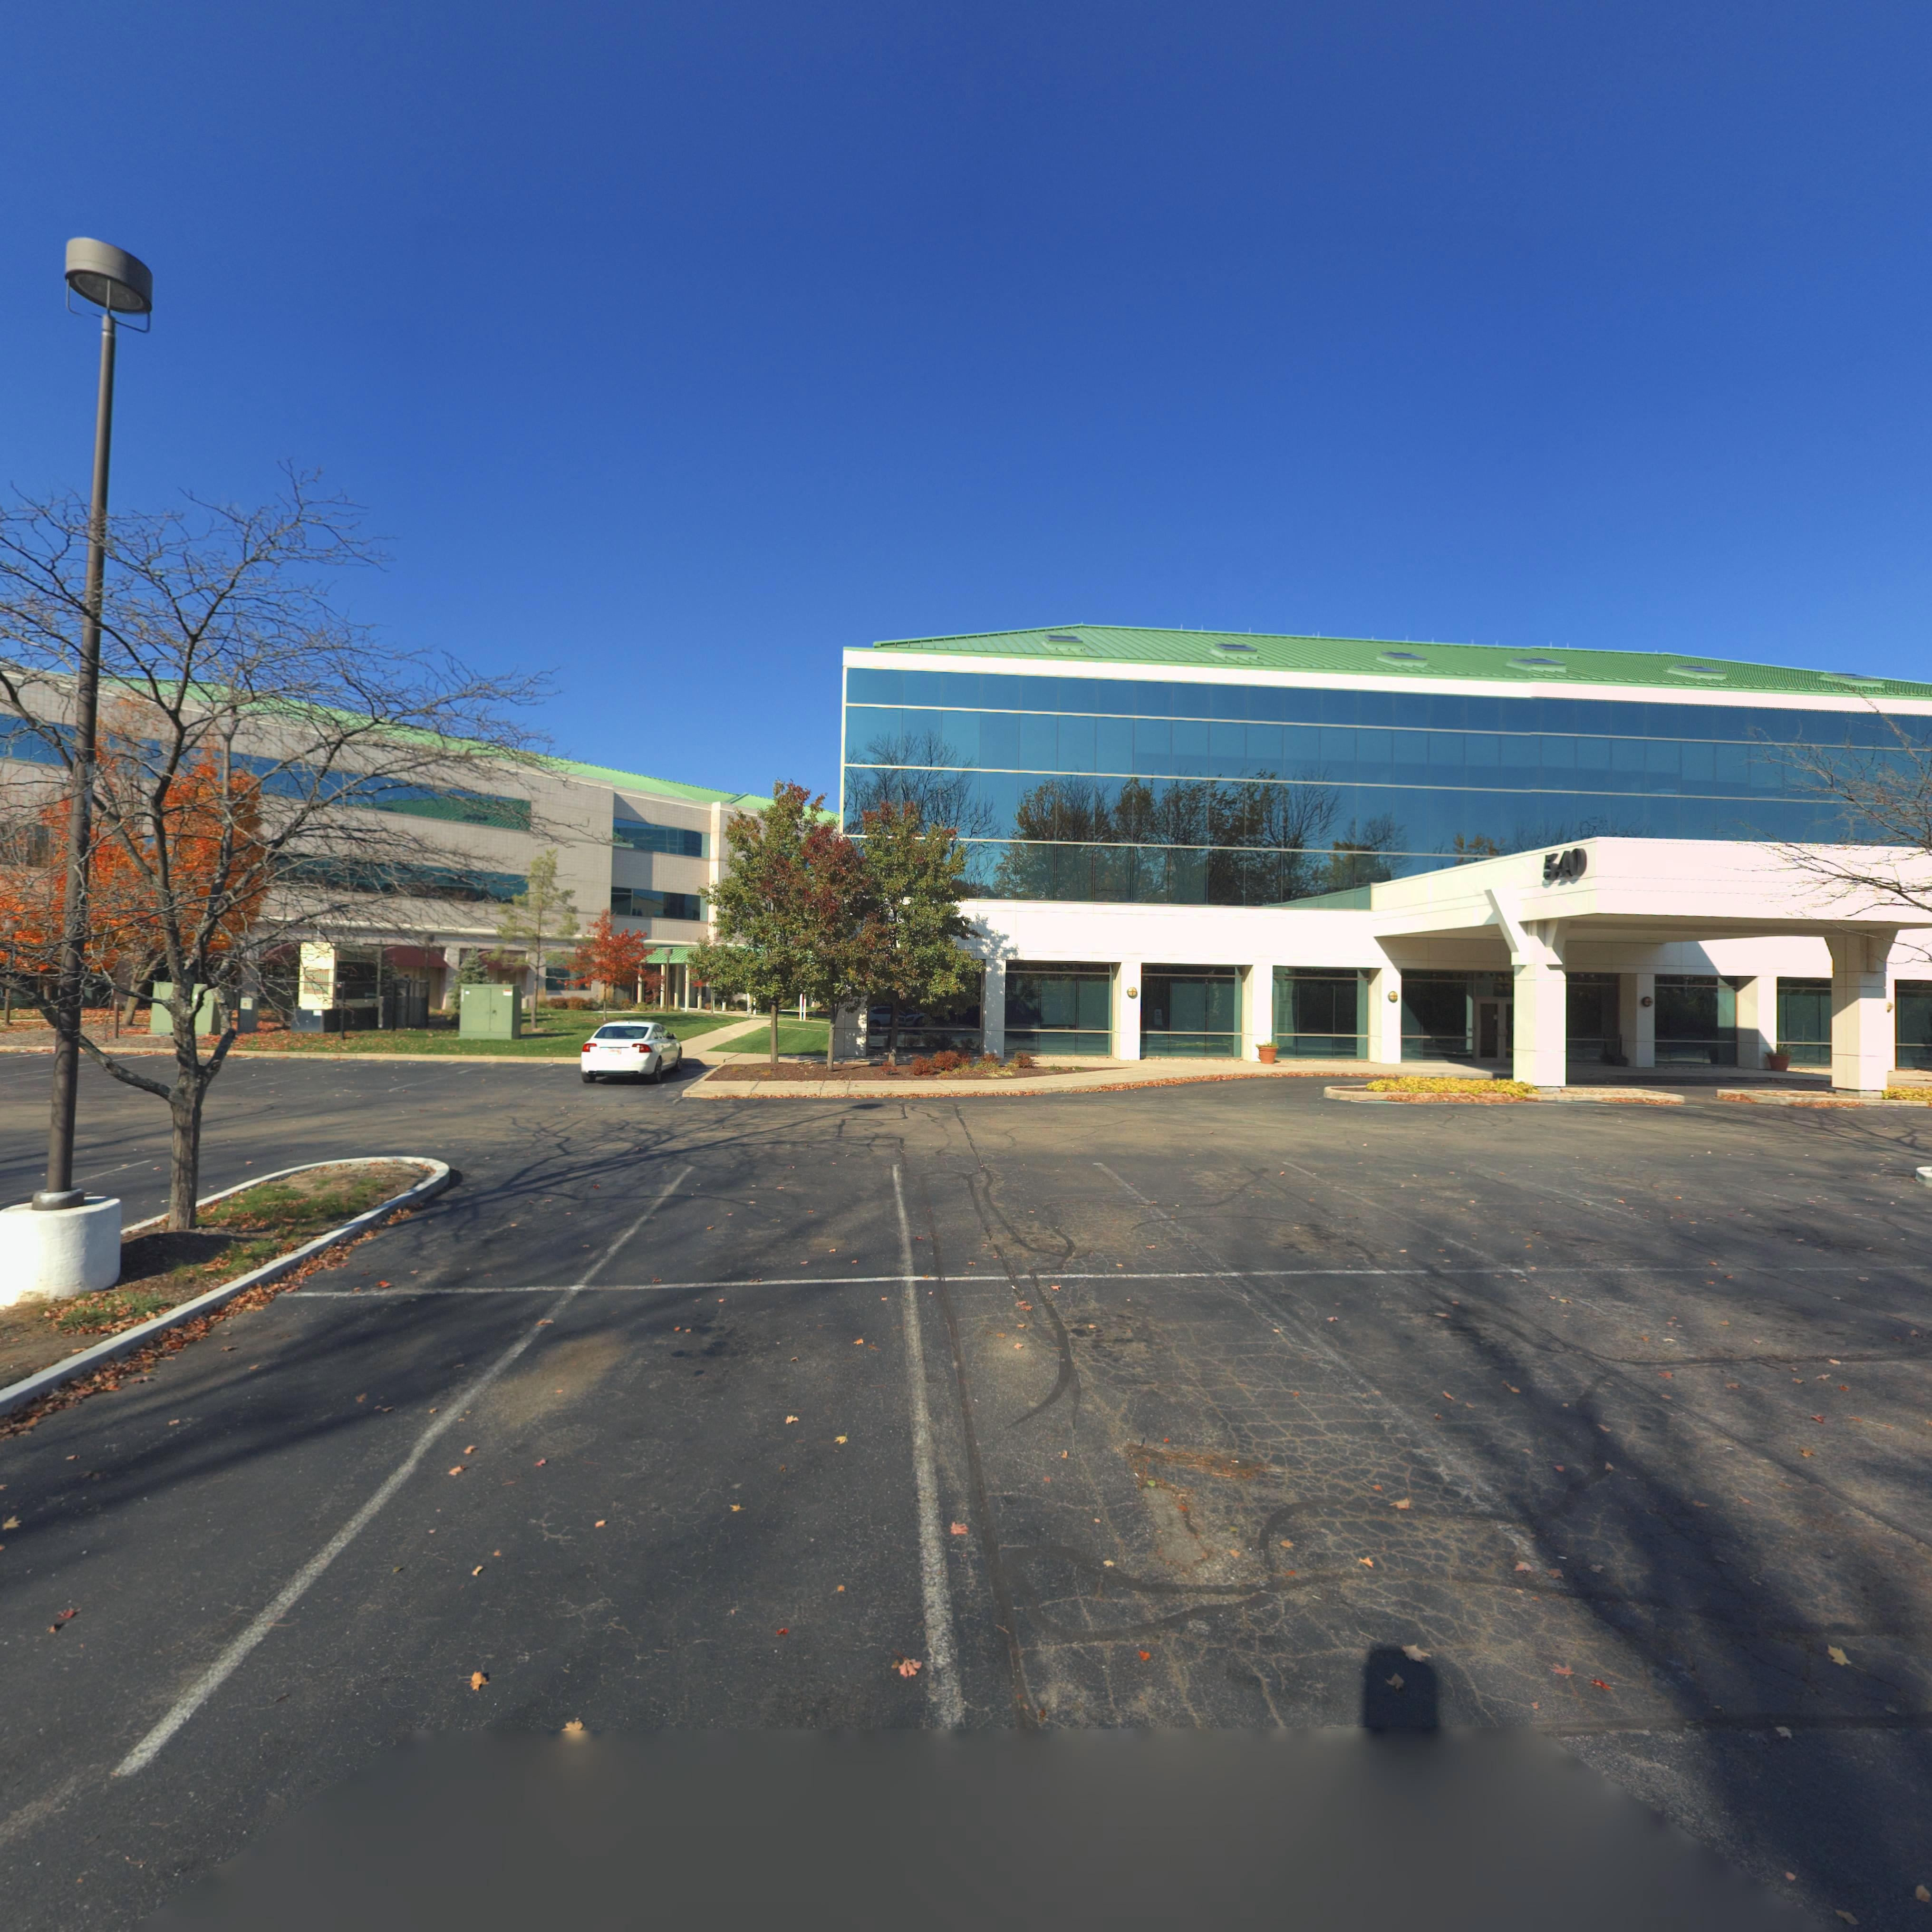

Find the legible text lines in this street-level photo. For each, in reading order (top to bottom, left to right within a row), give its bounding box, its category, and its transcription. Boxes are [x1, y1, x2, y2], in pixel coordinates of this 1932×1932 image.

[1543, 845, 1587, 881] StreetNumber: 540